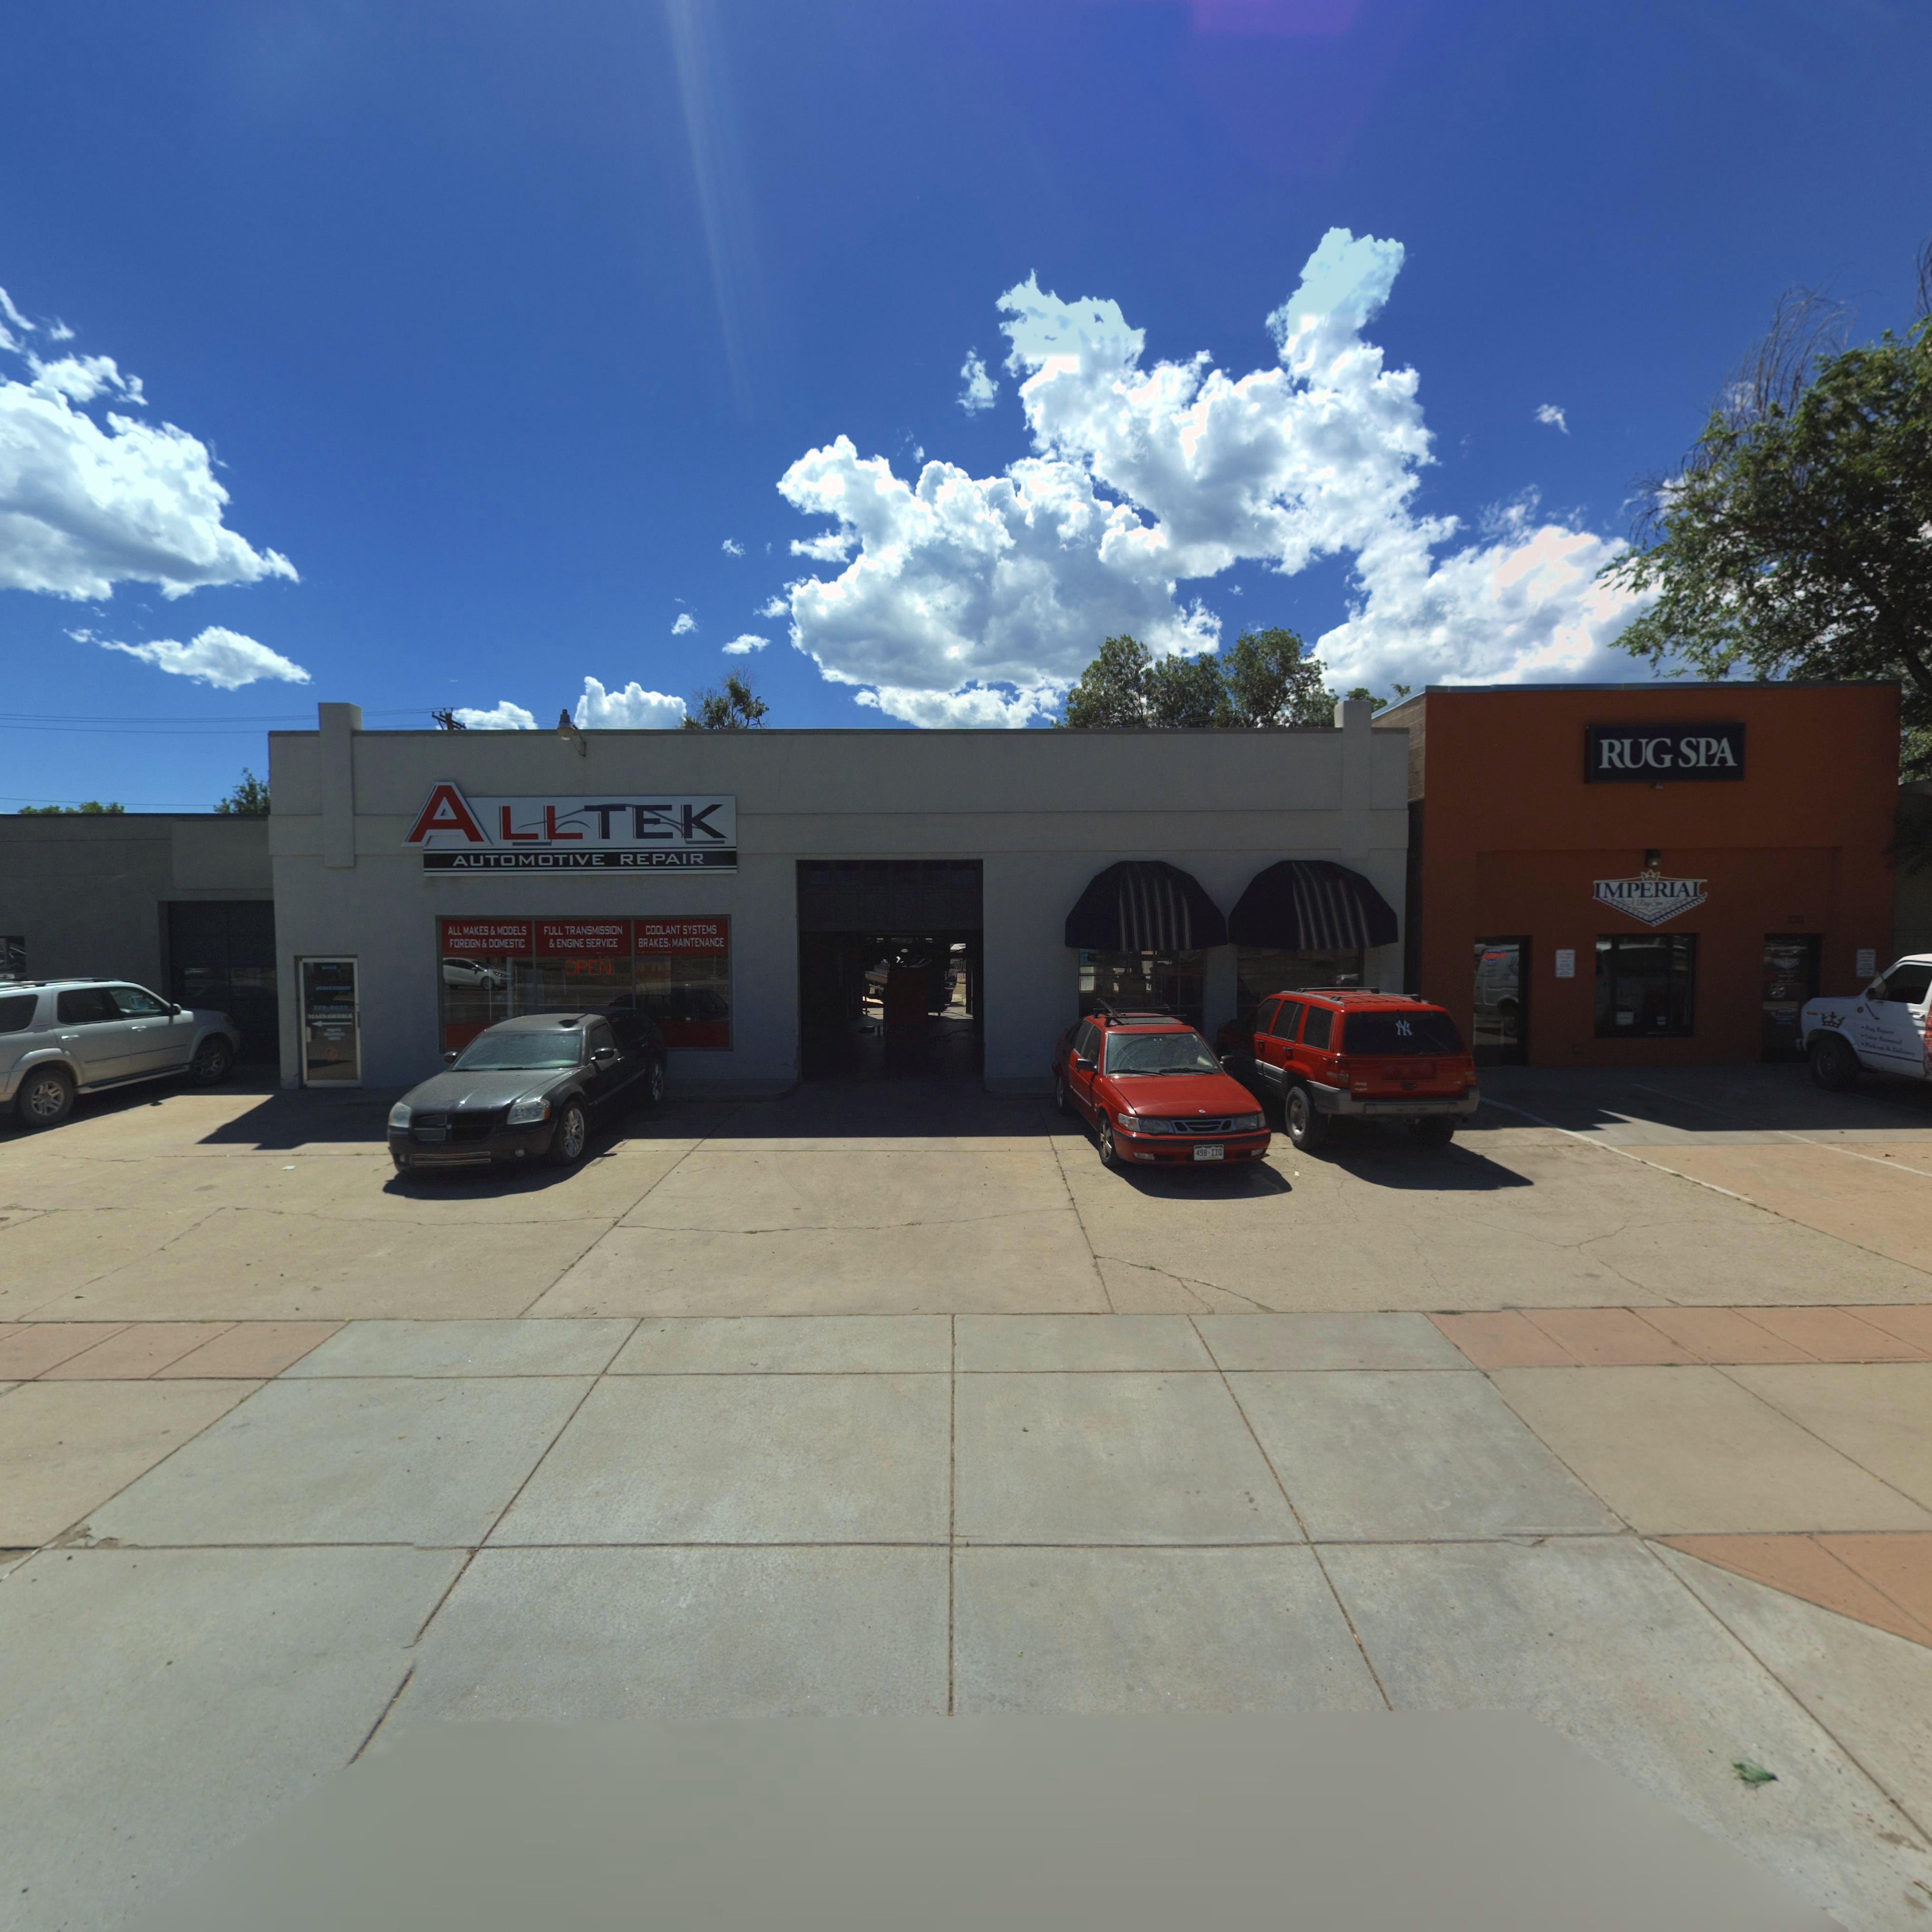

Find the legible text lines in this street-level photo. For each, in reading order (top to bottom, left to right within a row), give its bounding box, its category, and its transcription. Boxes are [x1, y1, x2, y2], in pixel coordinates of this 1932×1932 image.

[1598, 737, 1737, 768] BusinessName: RUG SPA
[401, 783, 728, 844] BusinessName: ALLTEK
[1594, 881, 1706, 898] BusinessName: IMPERIAL
[1634, 898, 1664, 909] BusinessName: R** Sp*
[1786, 915, 1804, 925] StreetNumber: 1011